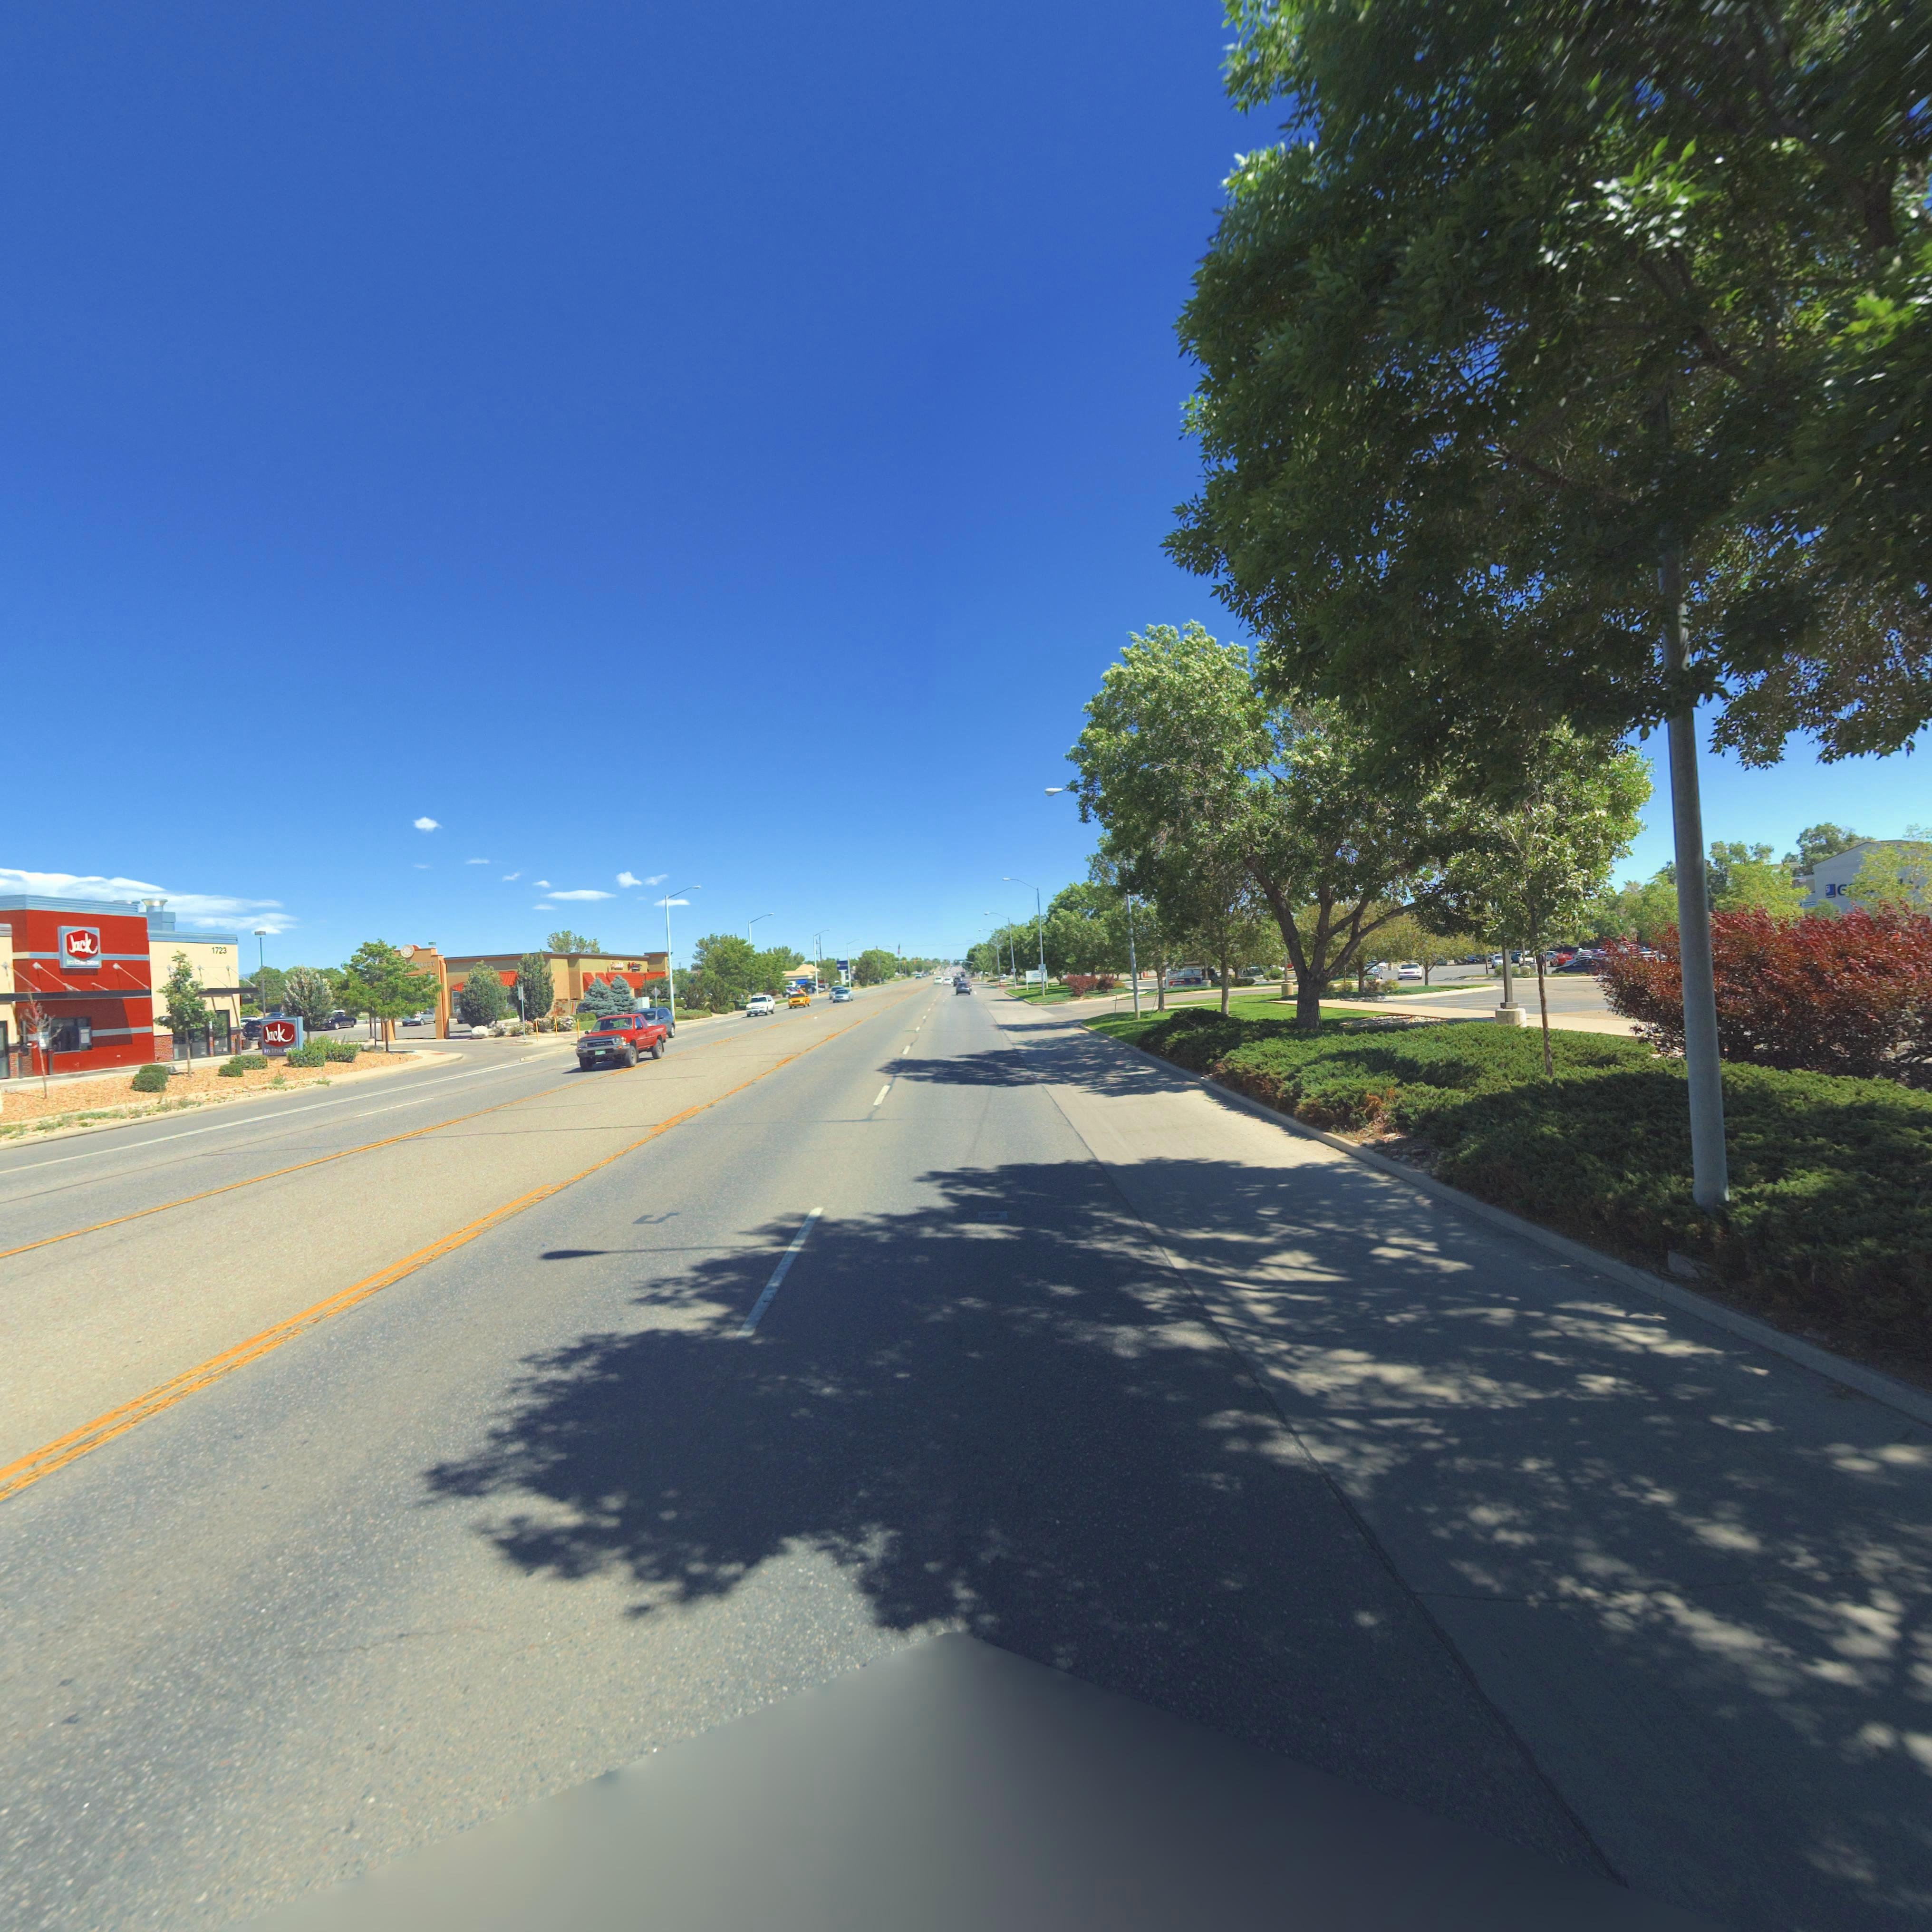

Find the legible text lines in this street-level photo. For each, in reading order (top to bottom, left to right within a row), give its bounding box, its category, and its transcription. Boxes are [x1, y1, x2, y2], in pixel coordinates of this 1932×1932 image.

[68, 932, 98, 954] BusinessName: Jack
[211, 947, 227, 954] StreetNumber: 1723
[66, 958, 99, 965] BusinessName:  i* *** bo*
[264, 1023, 294, 1043] BusinessName: Jack
[263, 1047, 297, 1053] BusinessName: in the bo*